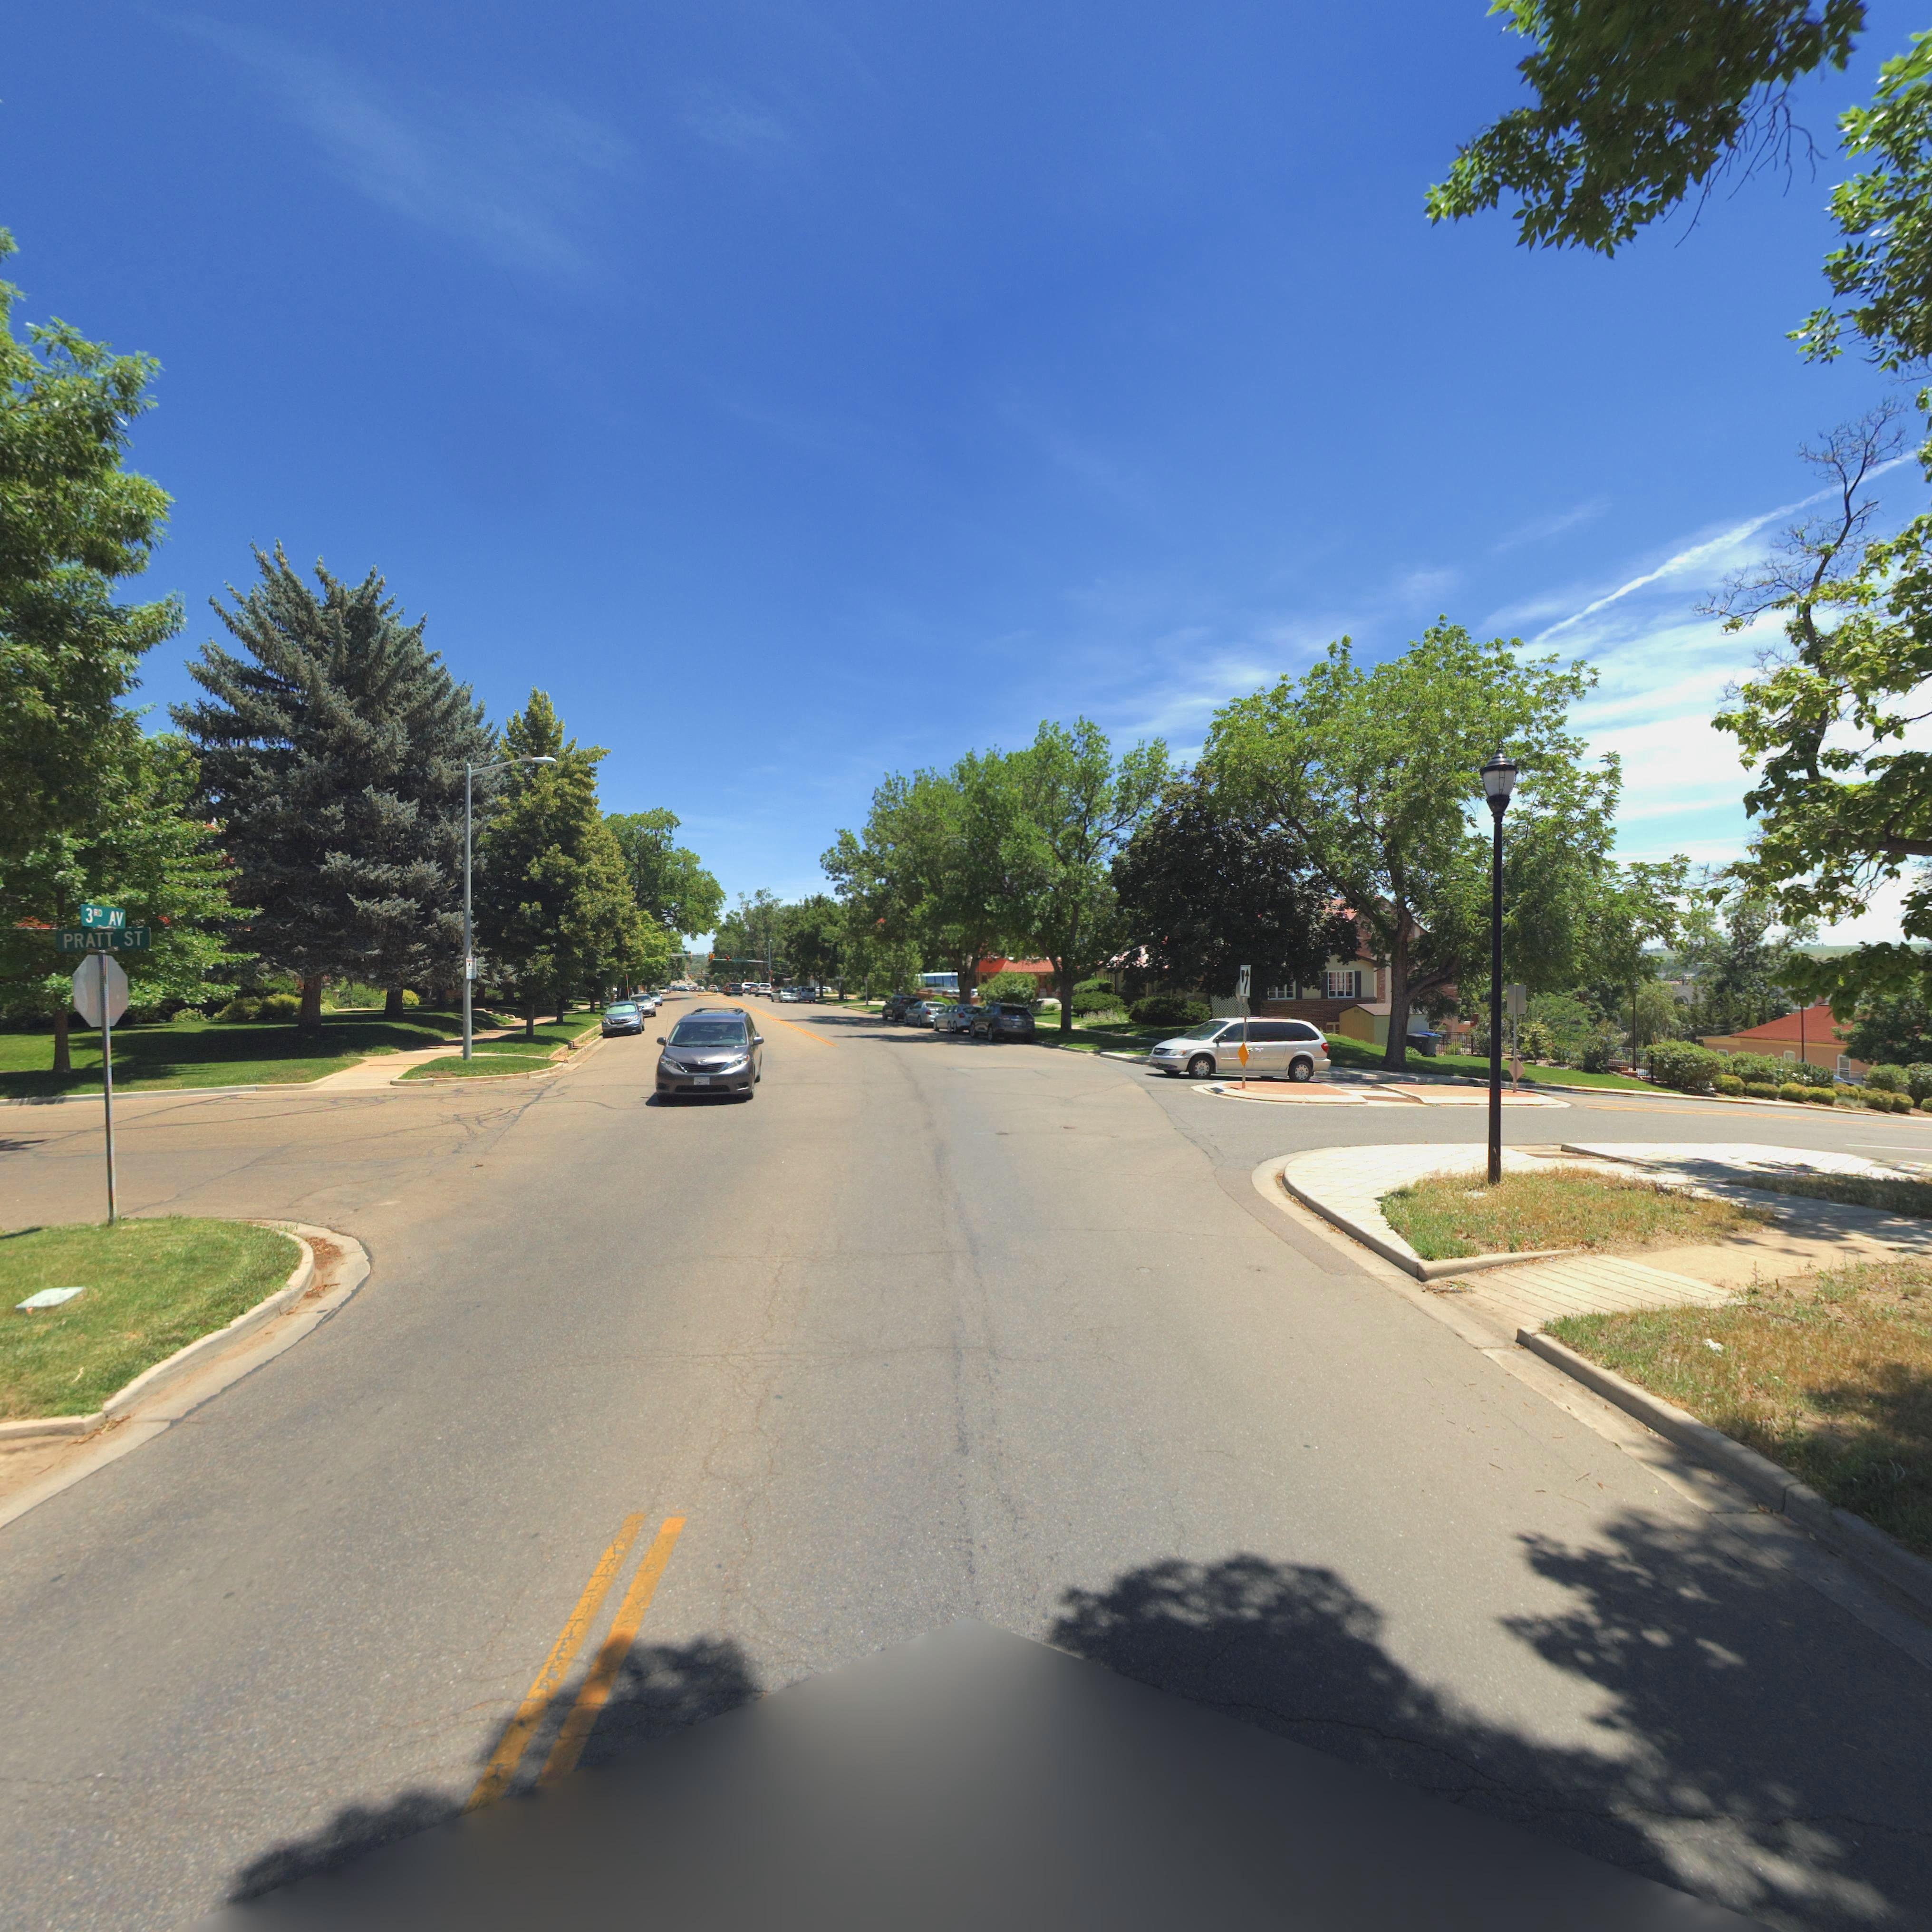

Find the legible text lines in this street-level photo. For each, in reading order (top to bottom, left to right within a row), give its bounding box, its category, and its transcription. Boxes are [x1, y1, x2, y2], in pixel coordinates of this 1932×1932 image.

[84, 908, 124, 926] StreetName: 3RD AV
[64, 930, 143, 949] StreetName: PRATT ST